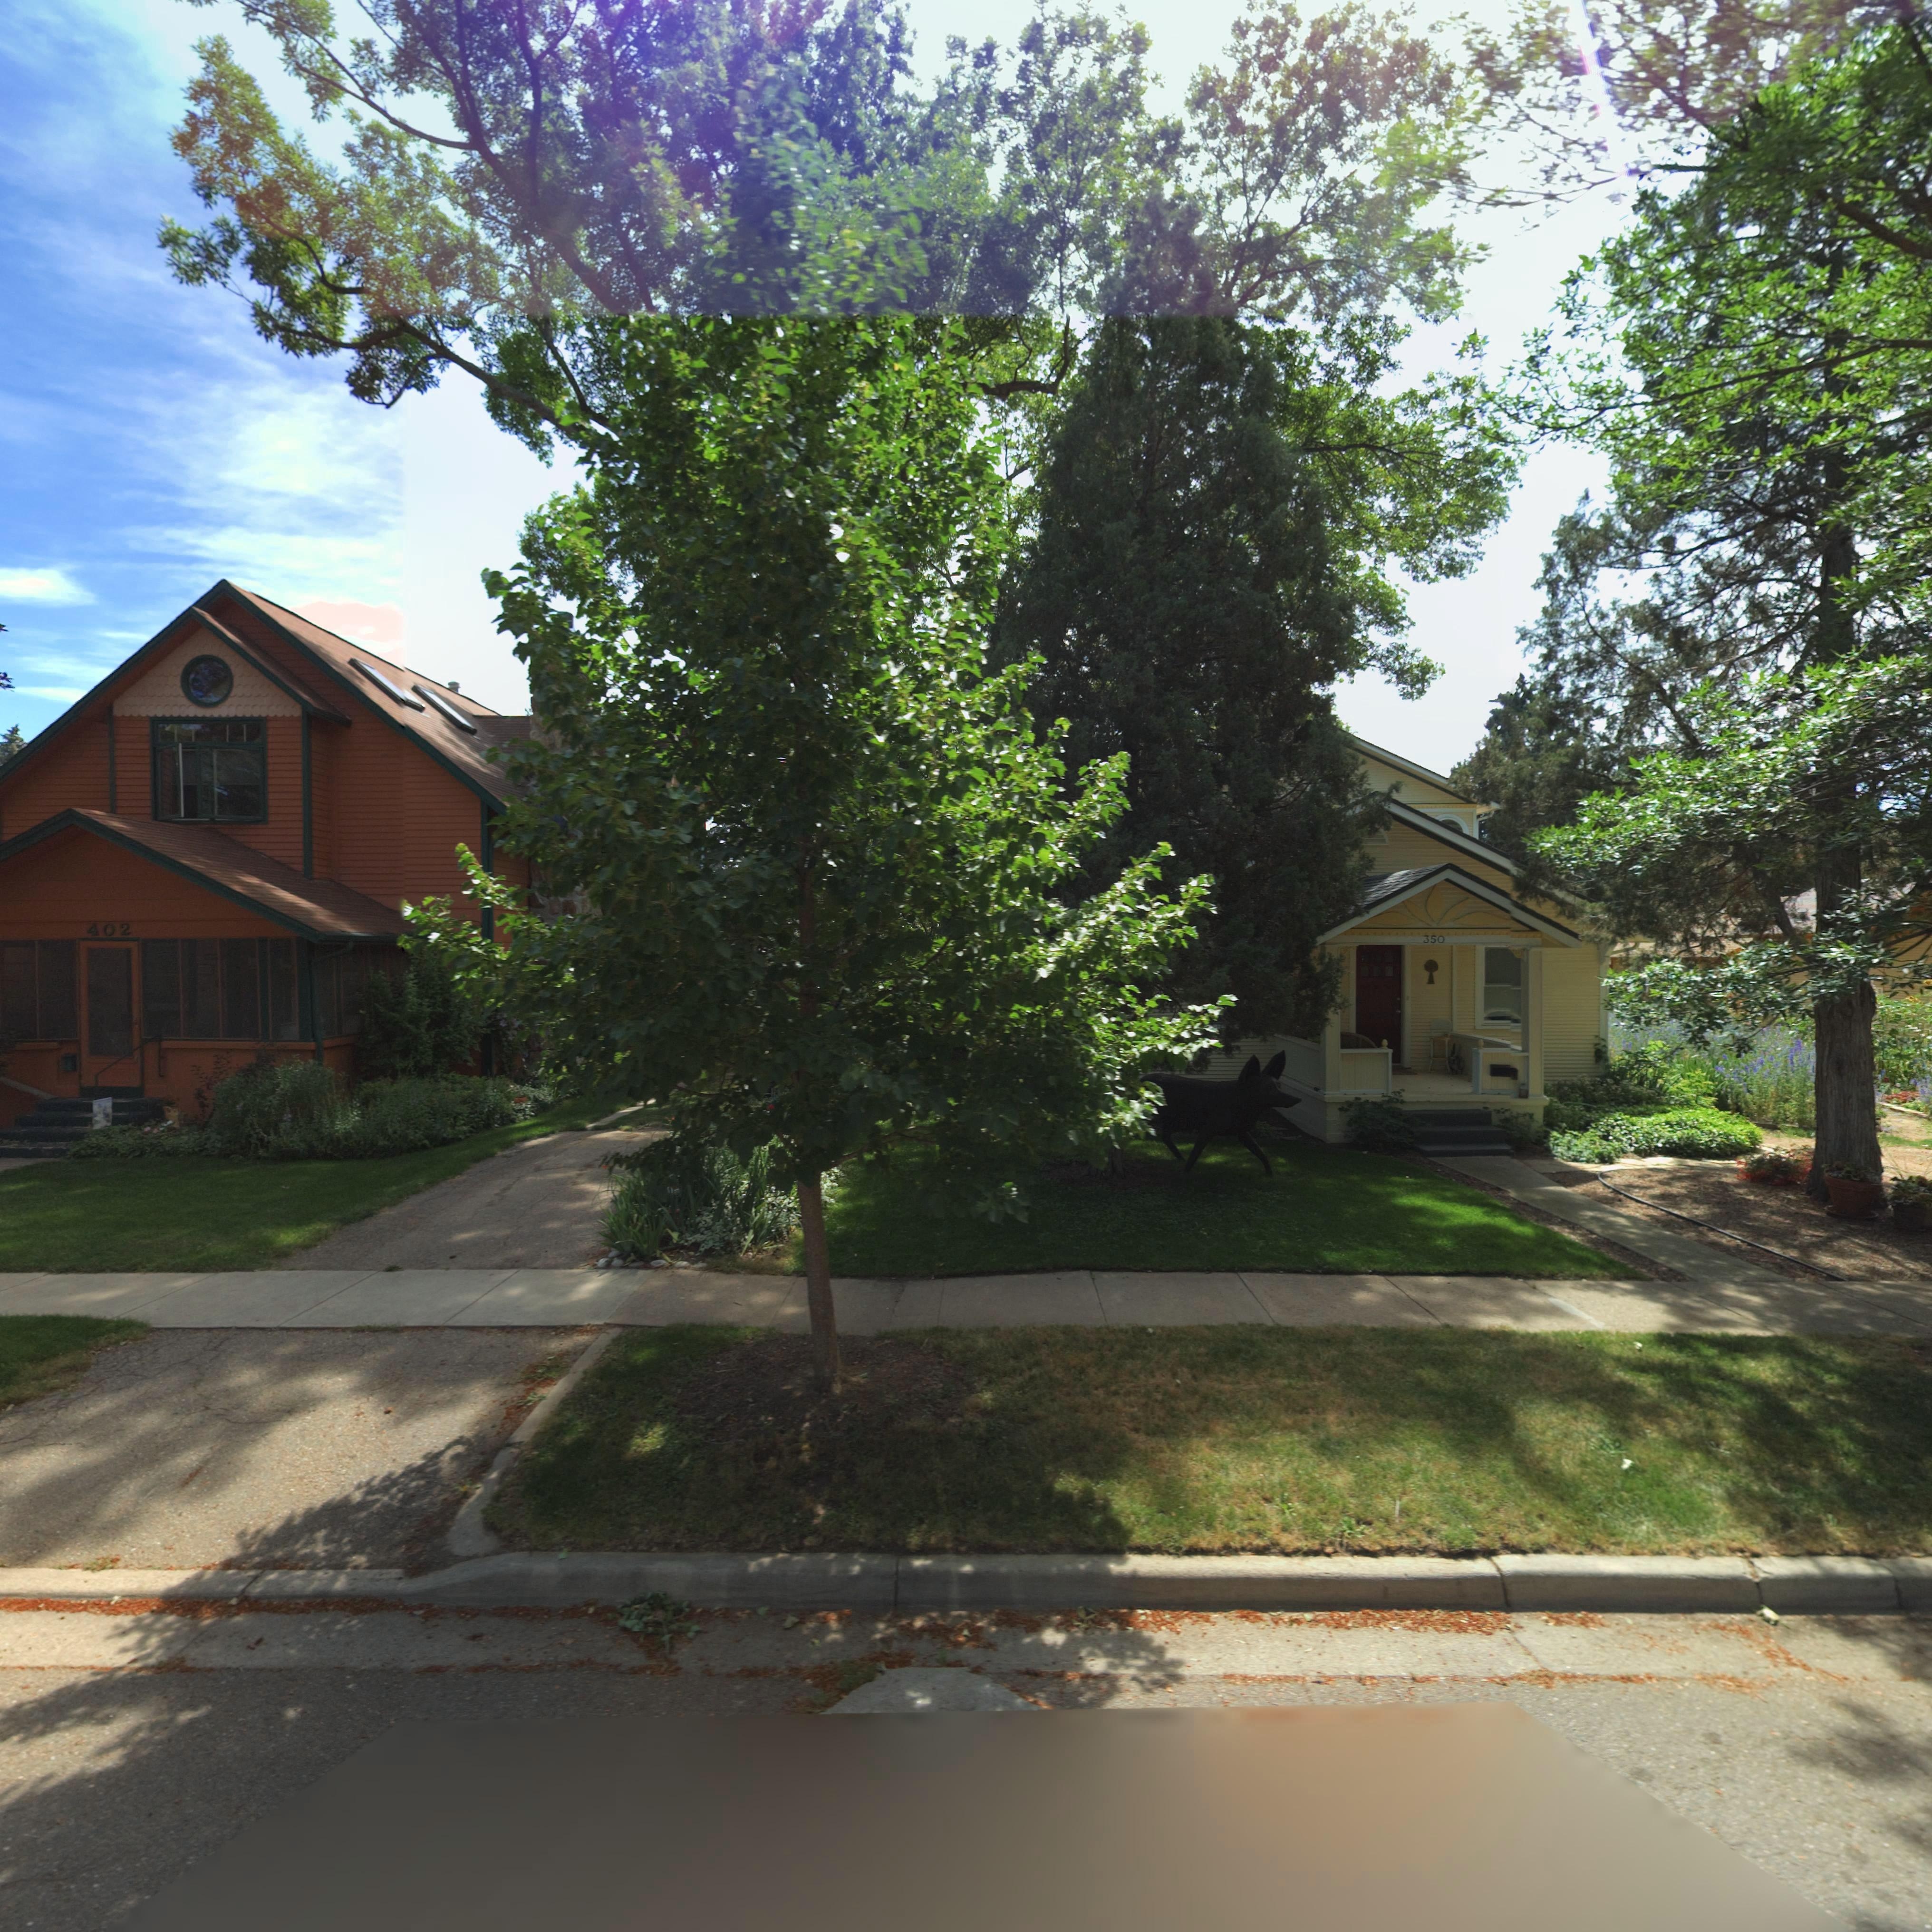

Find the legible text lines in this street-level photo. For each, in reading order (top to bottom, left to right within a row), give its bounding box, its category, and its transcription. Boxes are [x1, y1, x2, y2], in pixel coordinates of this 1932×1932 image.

[87, 922, 131, 936] StreetNumber: 402
[1423, 935, 1445, 943] StreetNumber: 350